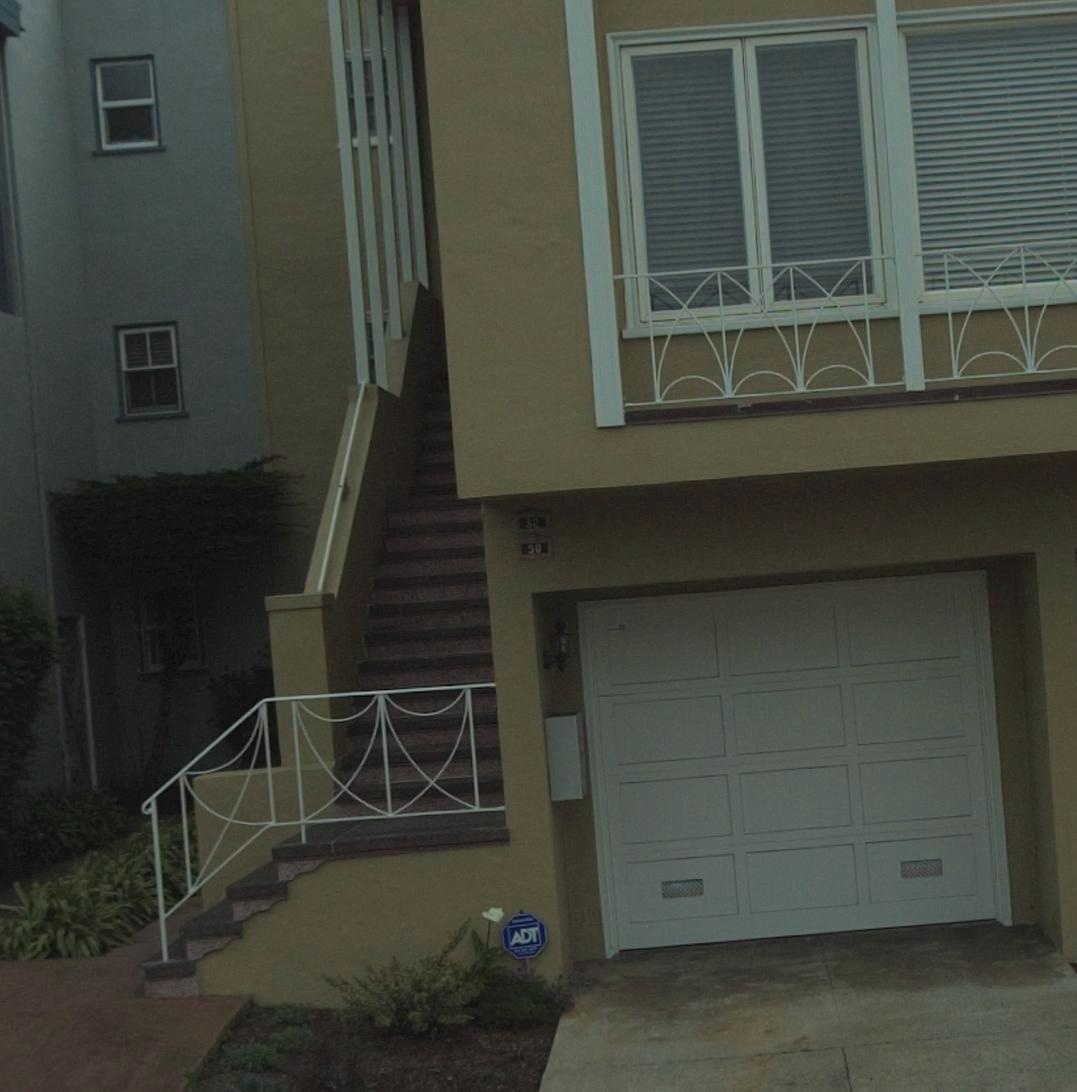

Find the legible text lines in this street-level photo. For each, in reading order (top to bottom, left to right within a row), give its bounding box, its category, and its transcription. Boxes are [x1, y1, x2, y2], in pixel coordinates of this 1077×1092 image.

[525, 516, 540, 530] StreetNumber: 52
[527, 542, 542, 556] StreetNumber: 50
[507, 926, 541, 947] None: ADT